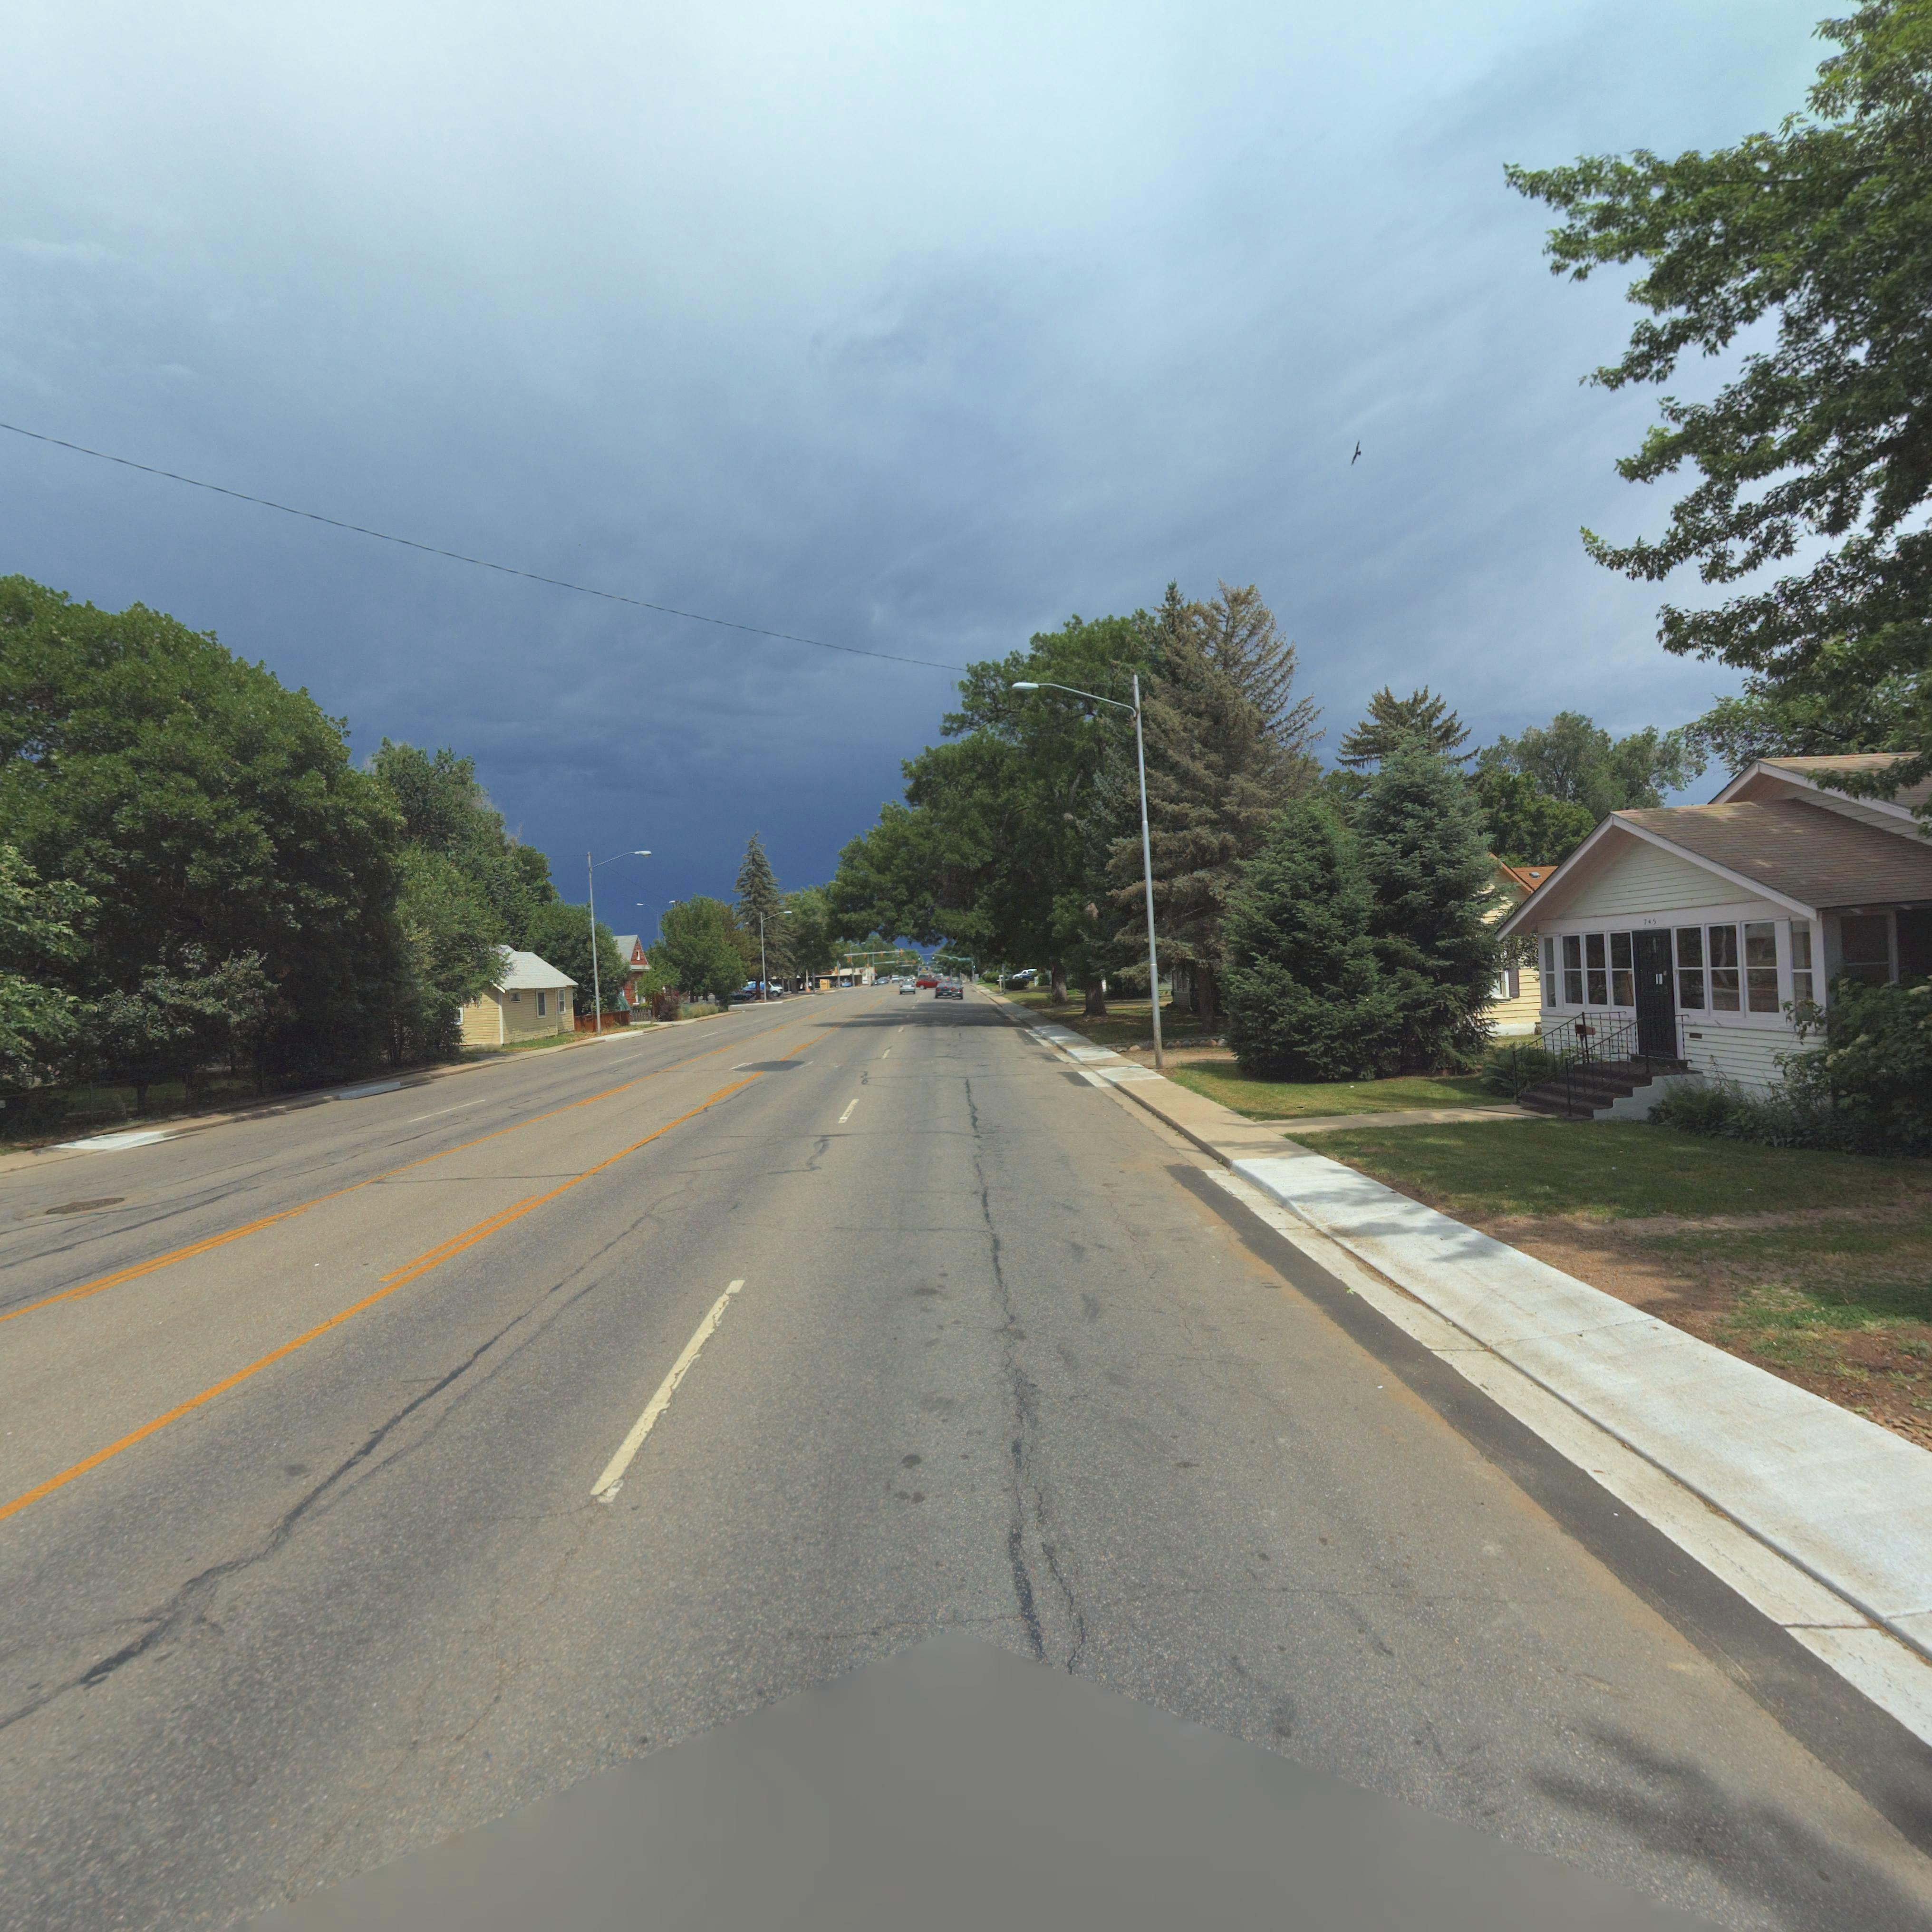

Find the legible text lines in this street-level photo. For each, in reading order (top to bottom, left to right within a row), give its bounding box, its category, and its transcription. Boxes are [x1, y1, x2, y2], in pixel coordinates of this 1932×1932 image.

[1643, 918, 1656, 925] StreetNumber: 745